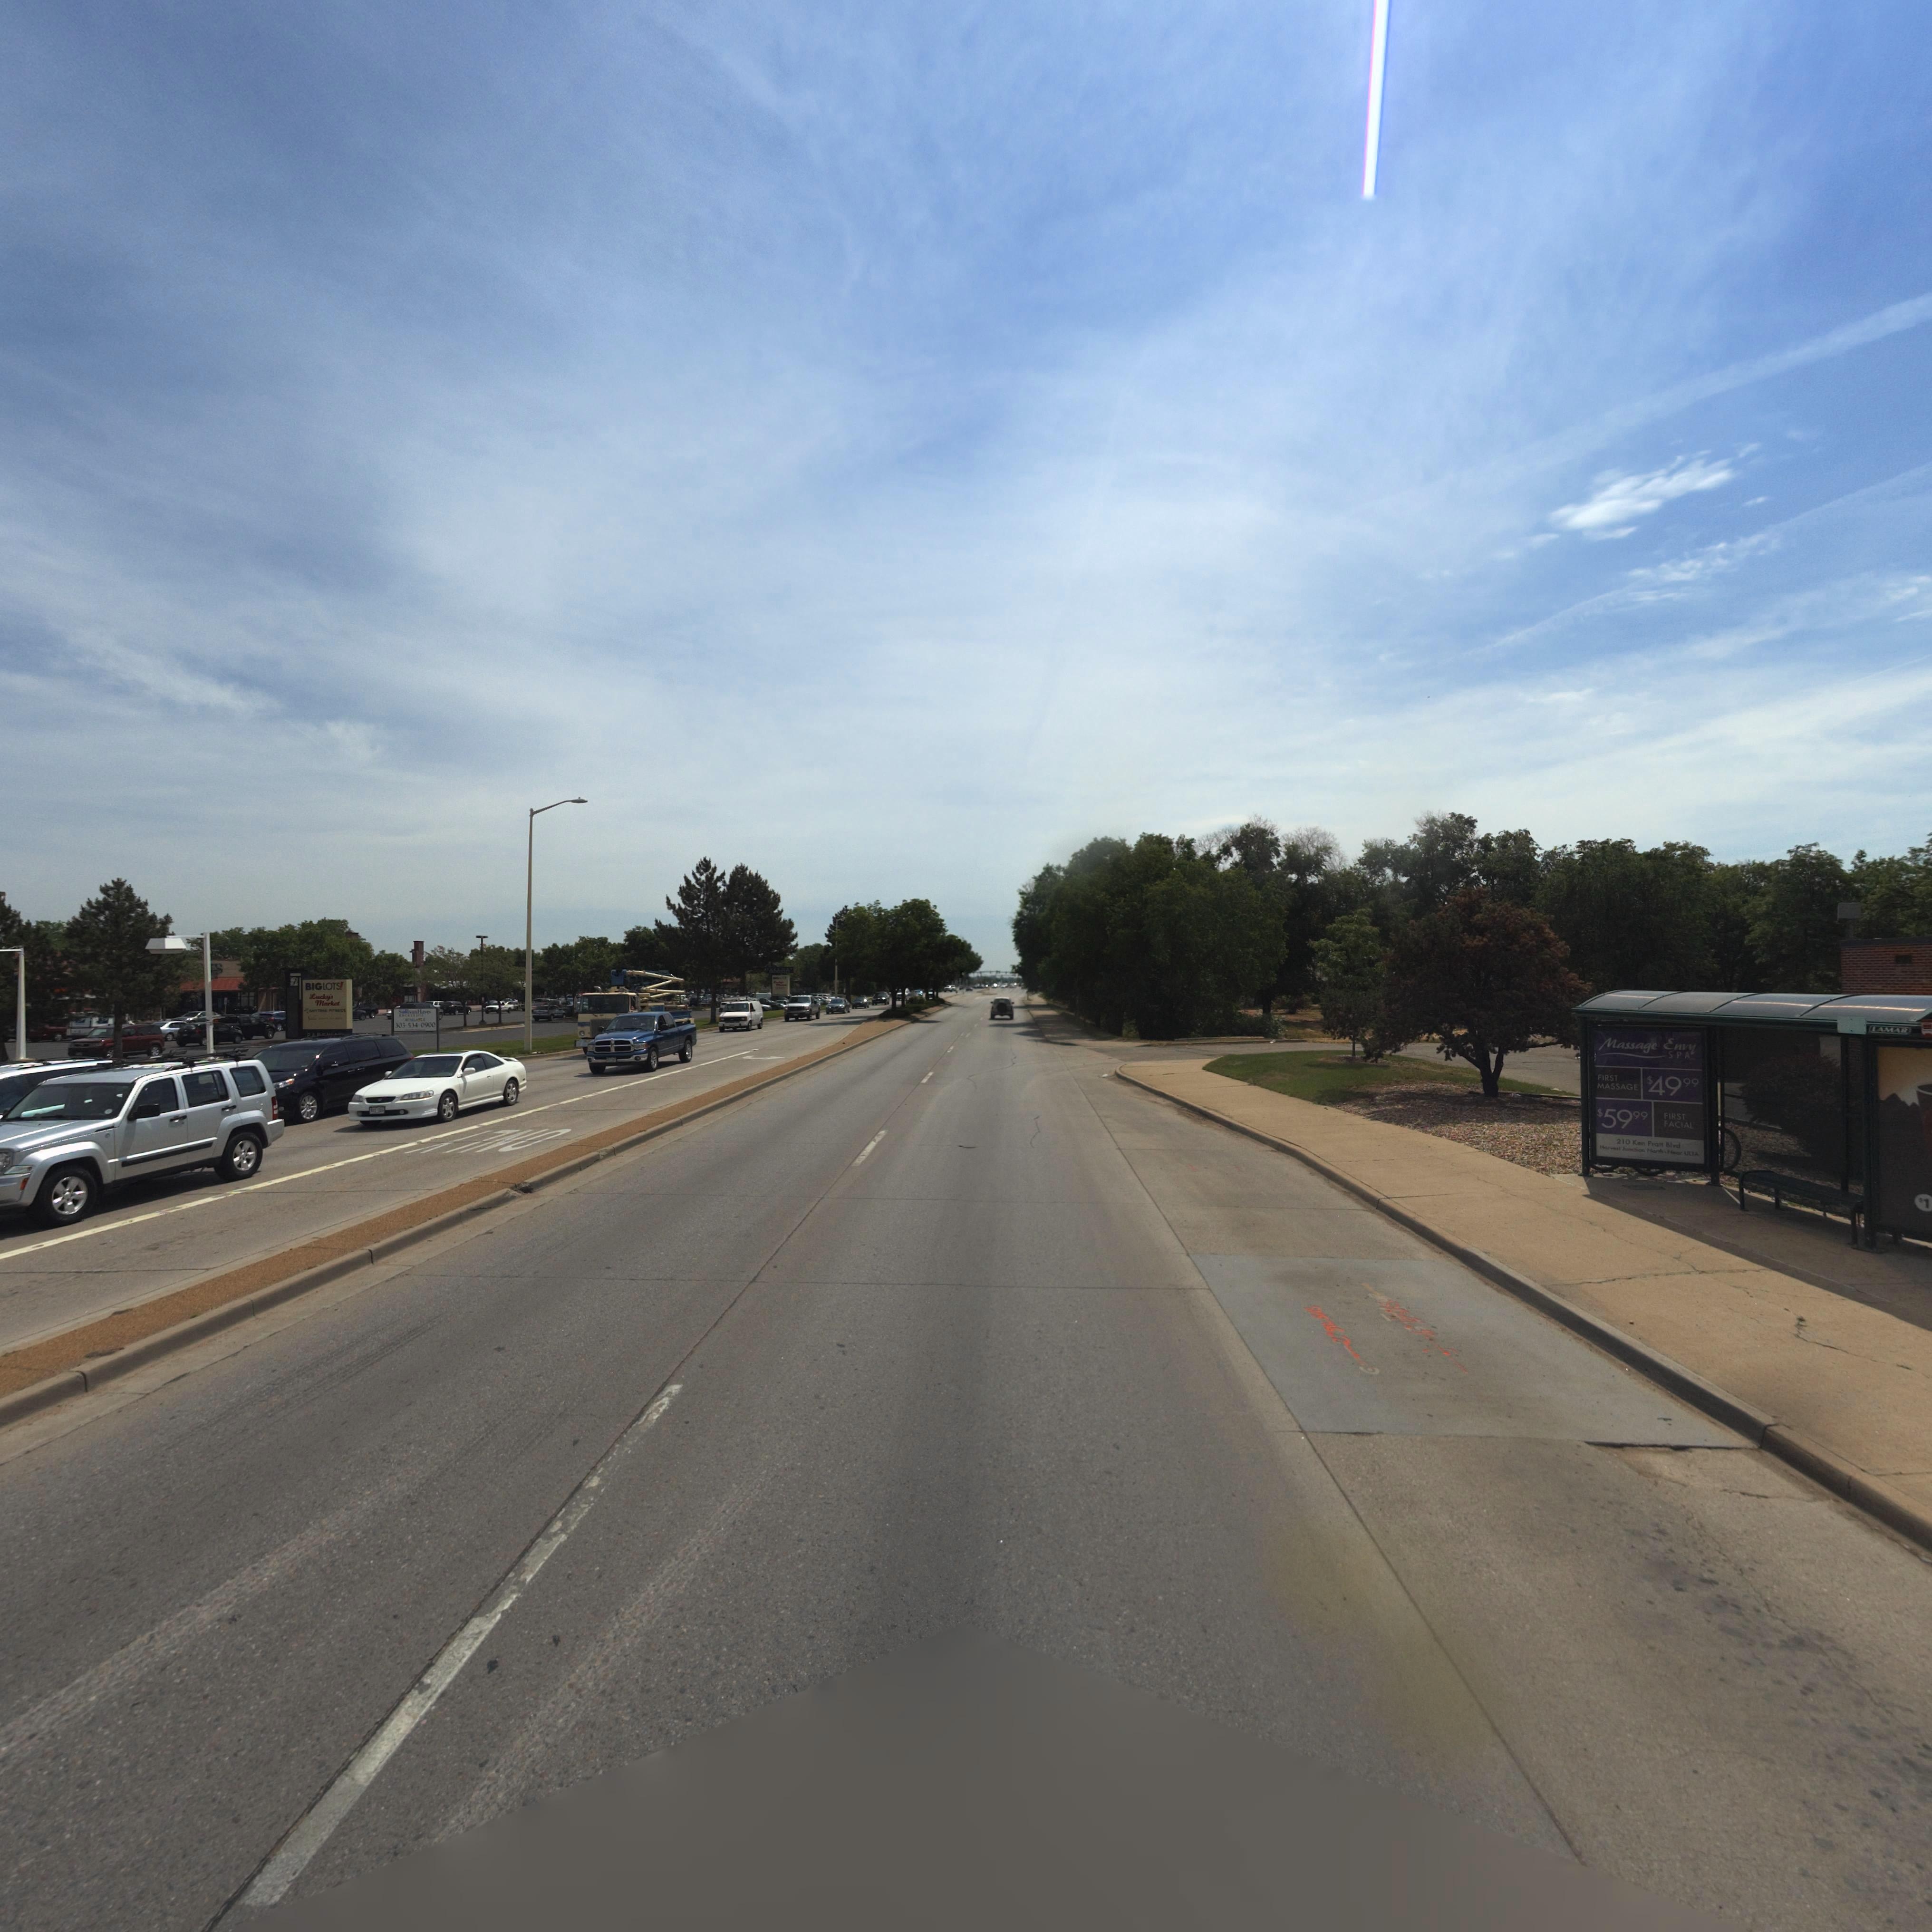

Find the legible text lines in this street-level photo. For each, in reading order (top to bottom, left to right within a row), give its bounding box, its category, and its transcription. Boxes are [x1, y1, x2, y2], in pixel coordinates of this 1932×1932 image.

[305, 981, 344, 991] BusinessName: BIGLOTS*